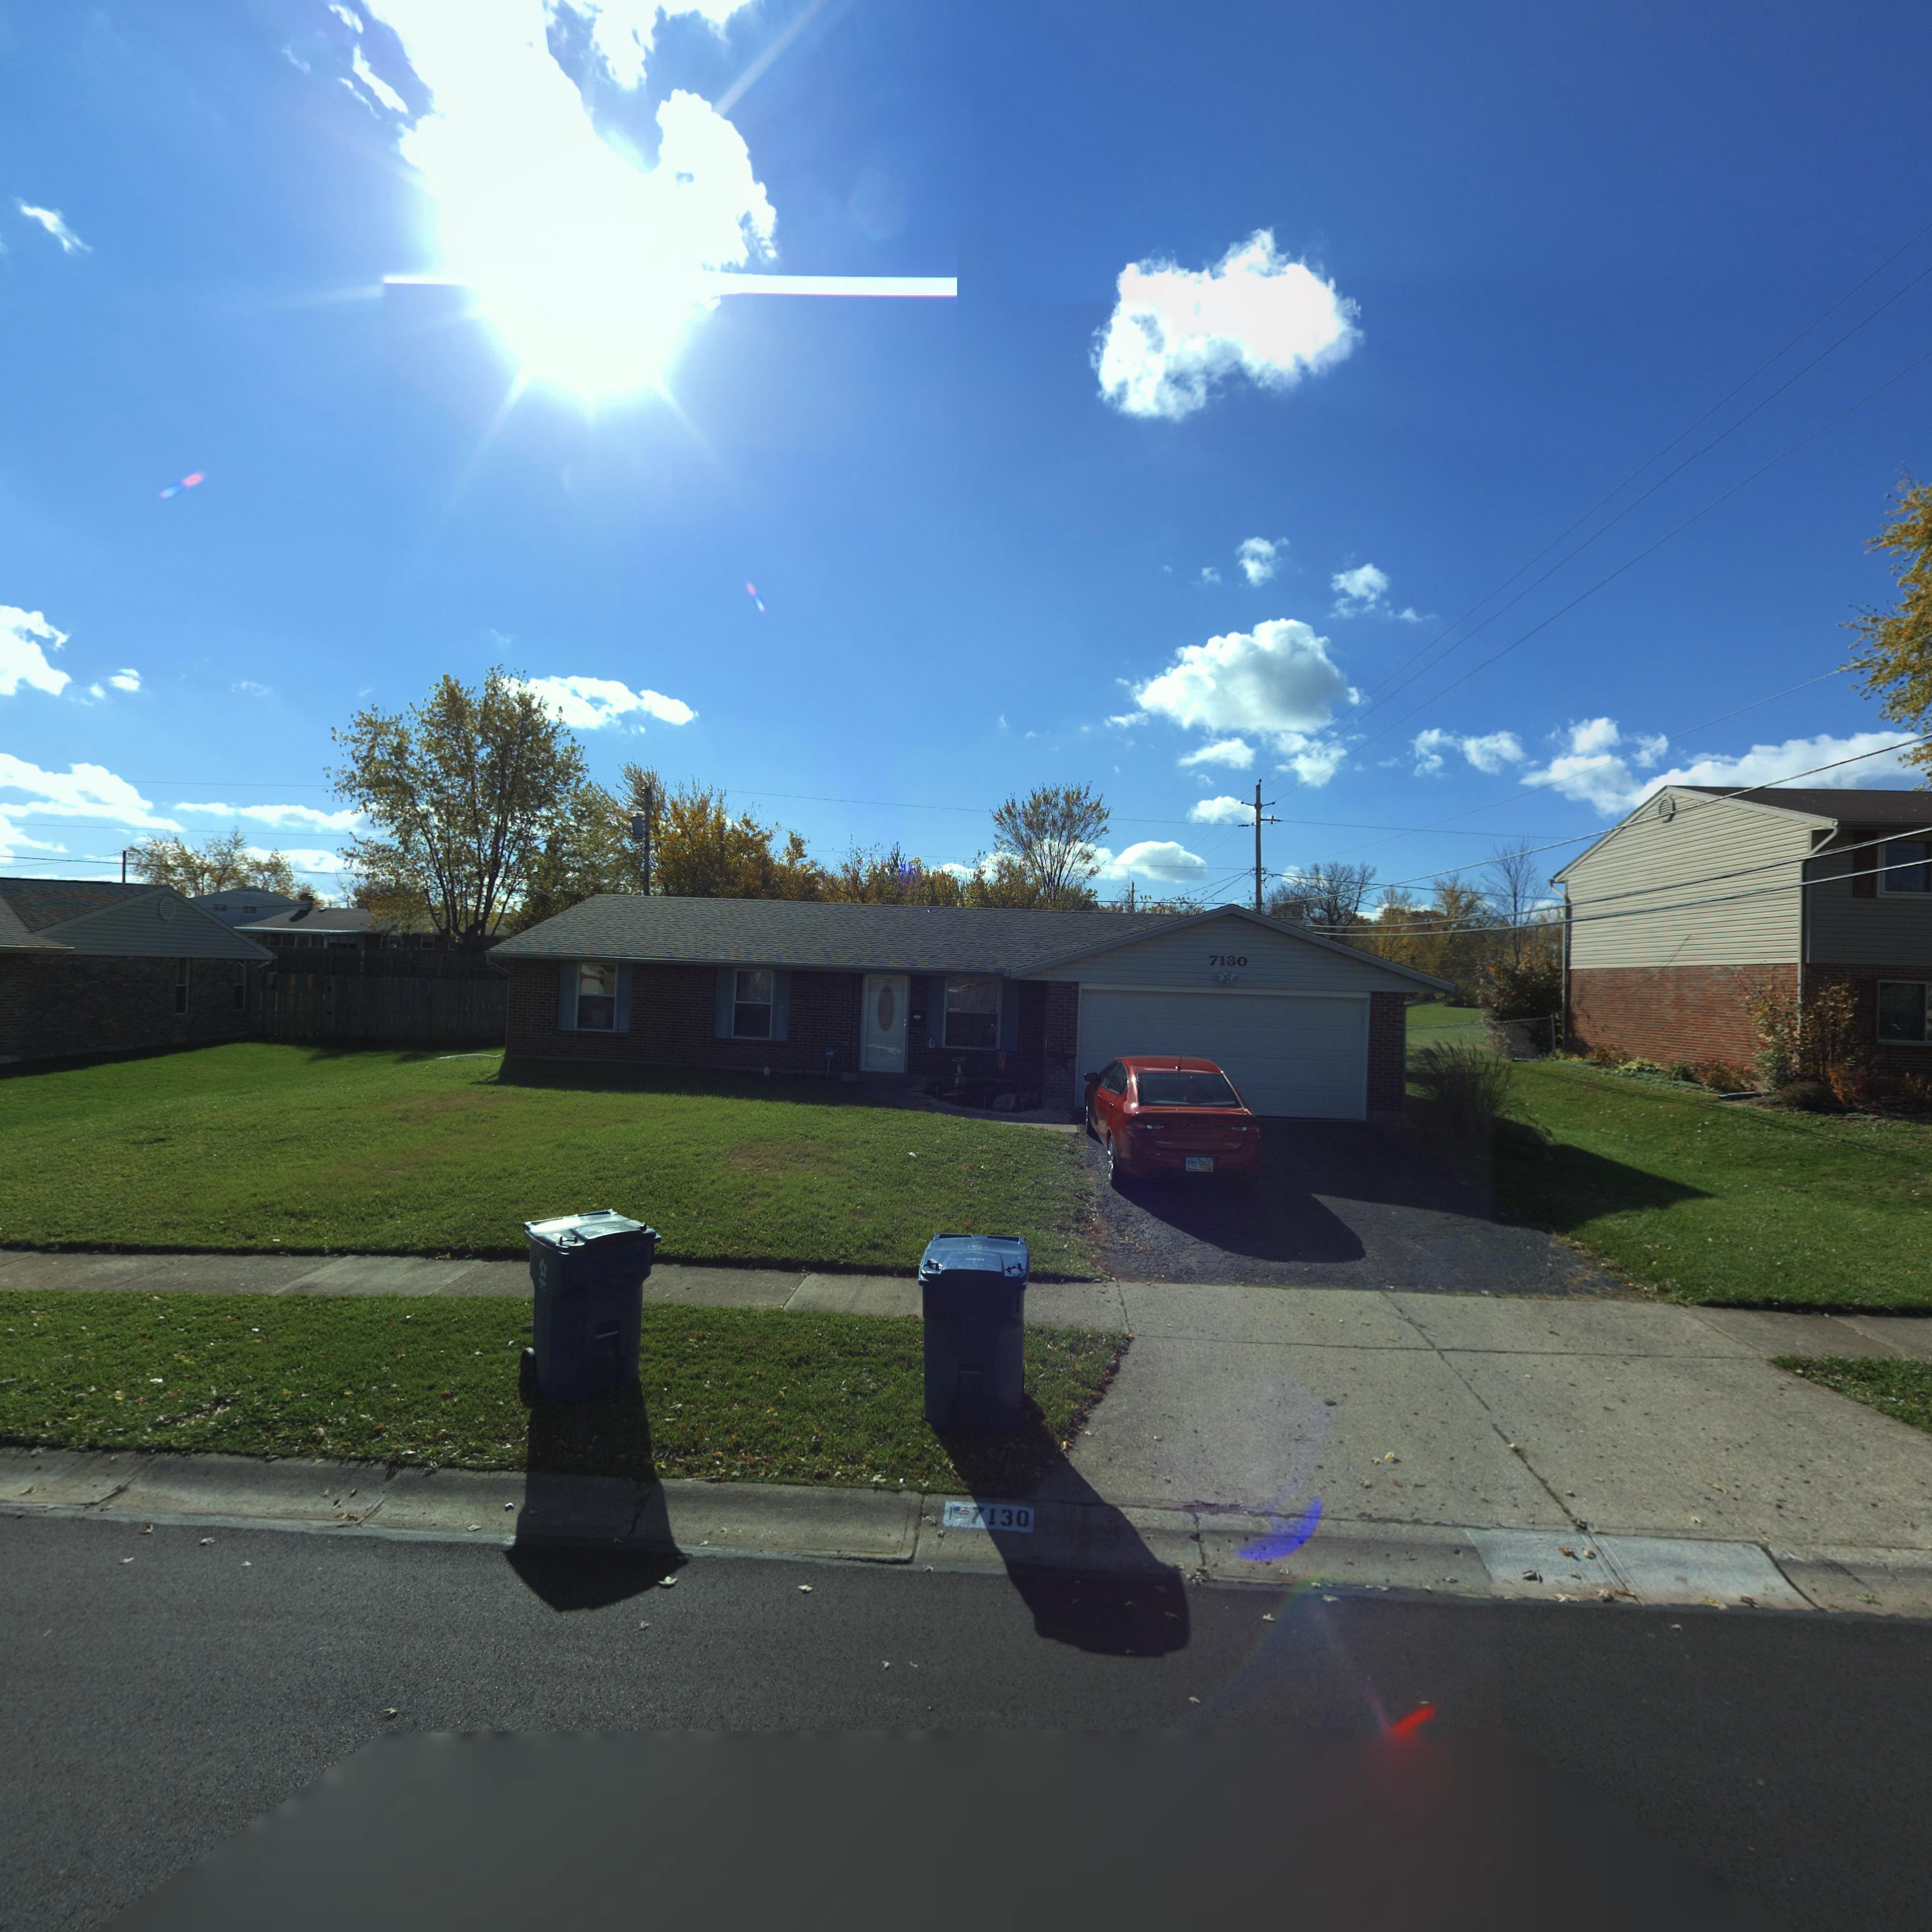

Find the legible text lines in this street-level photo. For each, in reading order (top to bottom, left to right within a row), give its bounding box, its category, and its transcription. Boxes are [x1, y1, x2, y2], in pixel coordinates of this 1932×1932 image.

[1207, 954, 1249, 968] StreetNumber: 7130
[968, 1505, 1031, 1529] StreetNumber: 7130